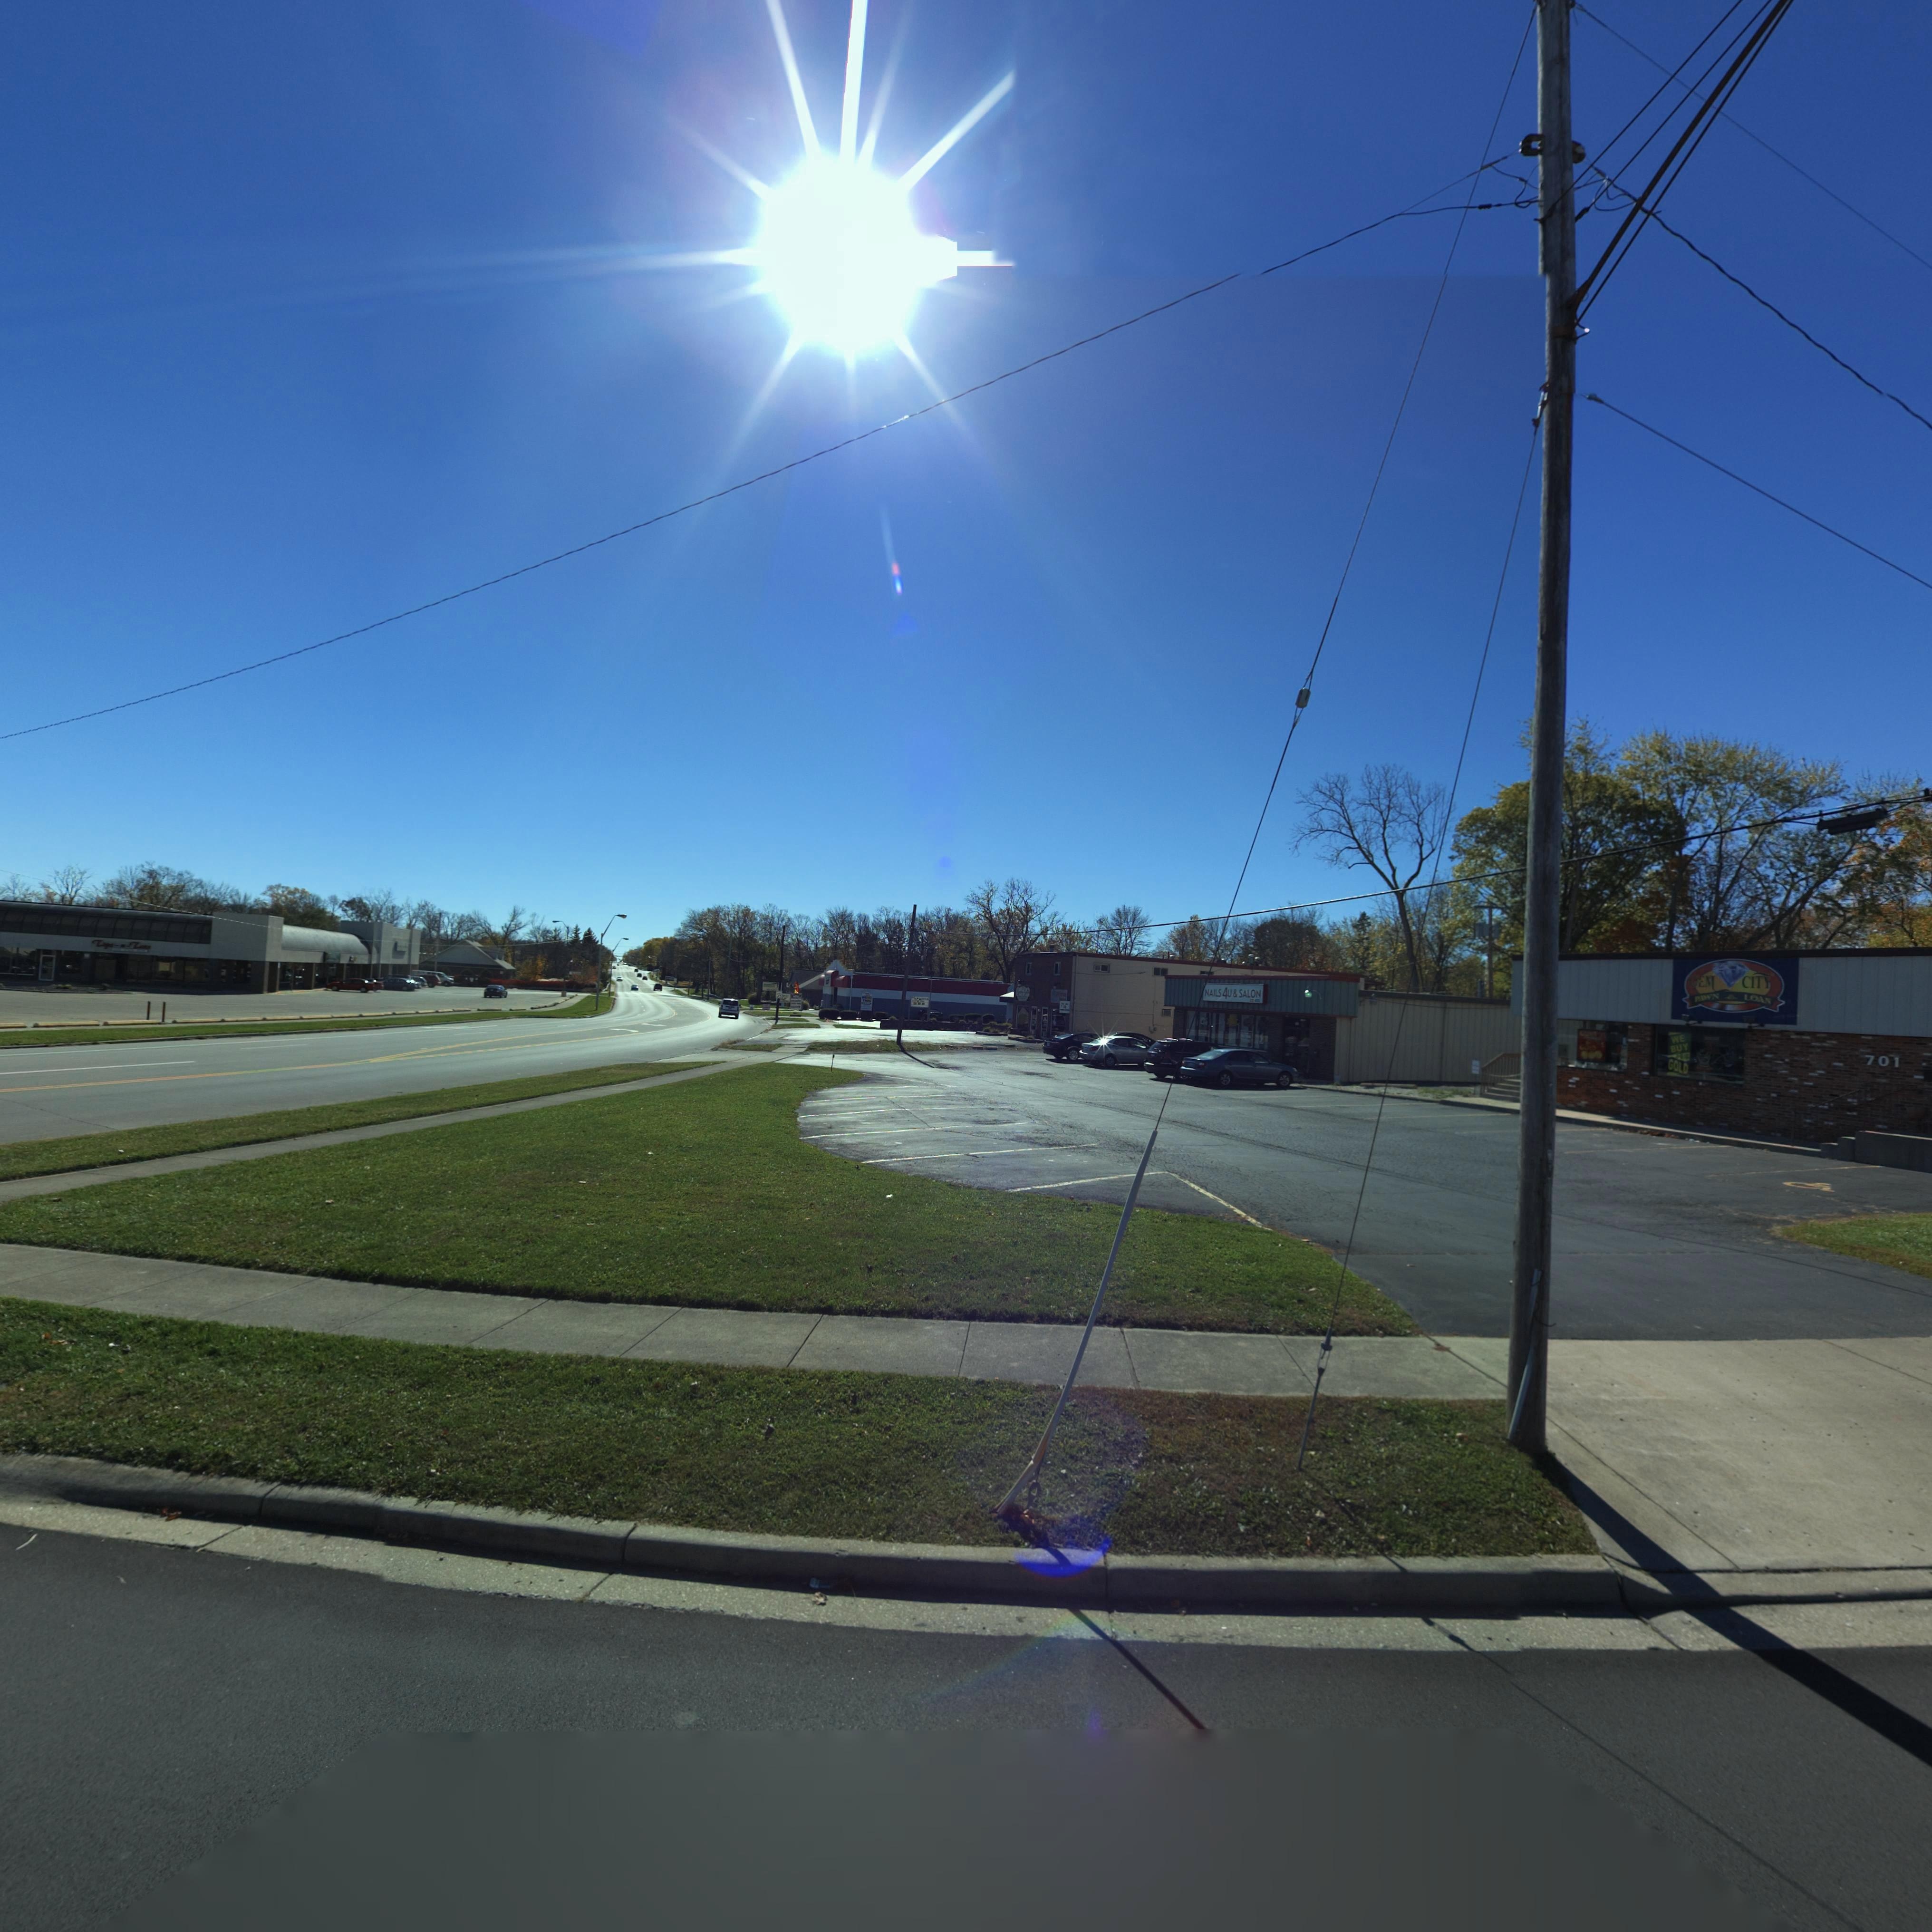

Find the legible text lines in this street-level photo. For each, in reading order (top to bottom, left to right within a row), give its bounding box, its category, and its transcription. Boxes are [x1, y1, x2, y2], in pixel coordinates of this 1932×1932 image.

[1864, 1054, 1900, 1069] StreetNumber: 701